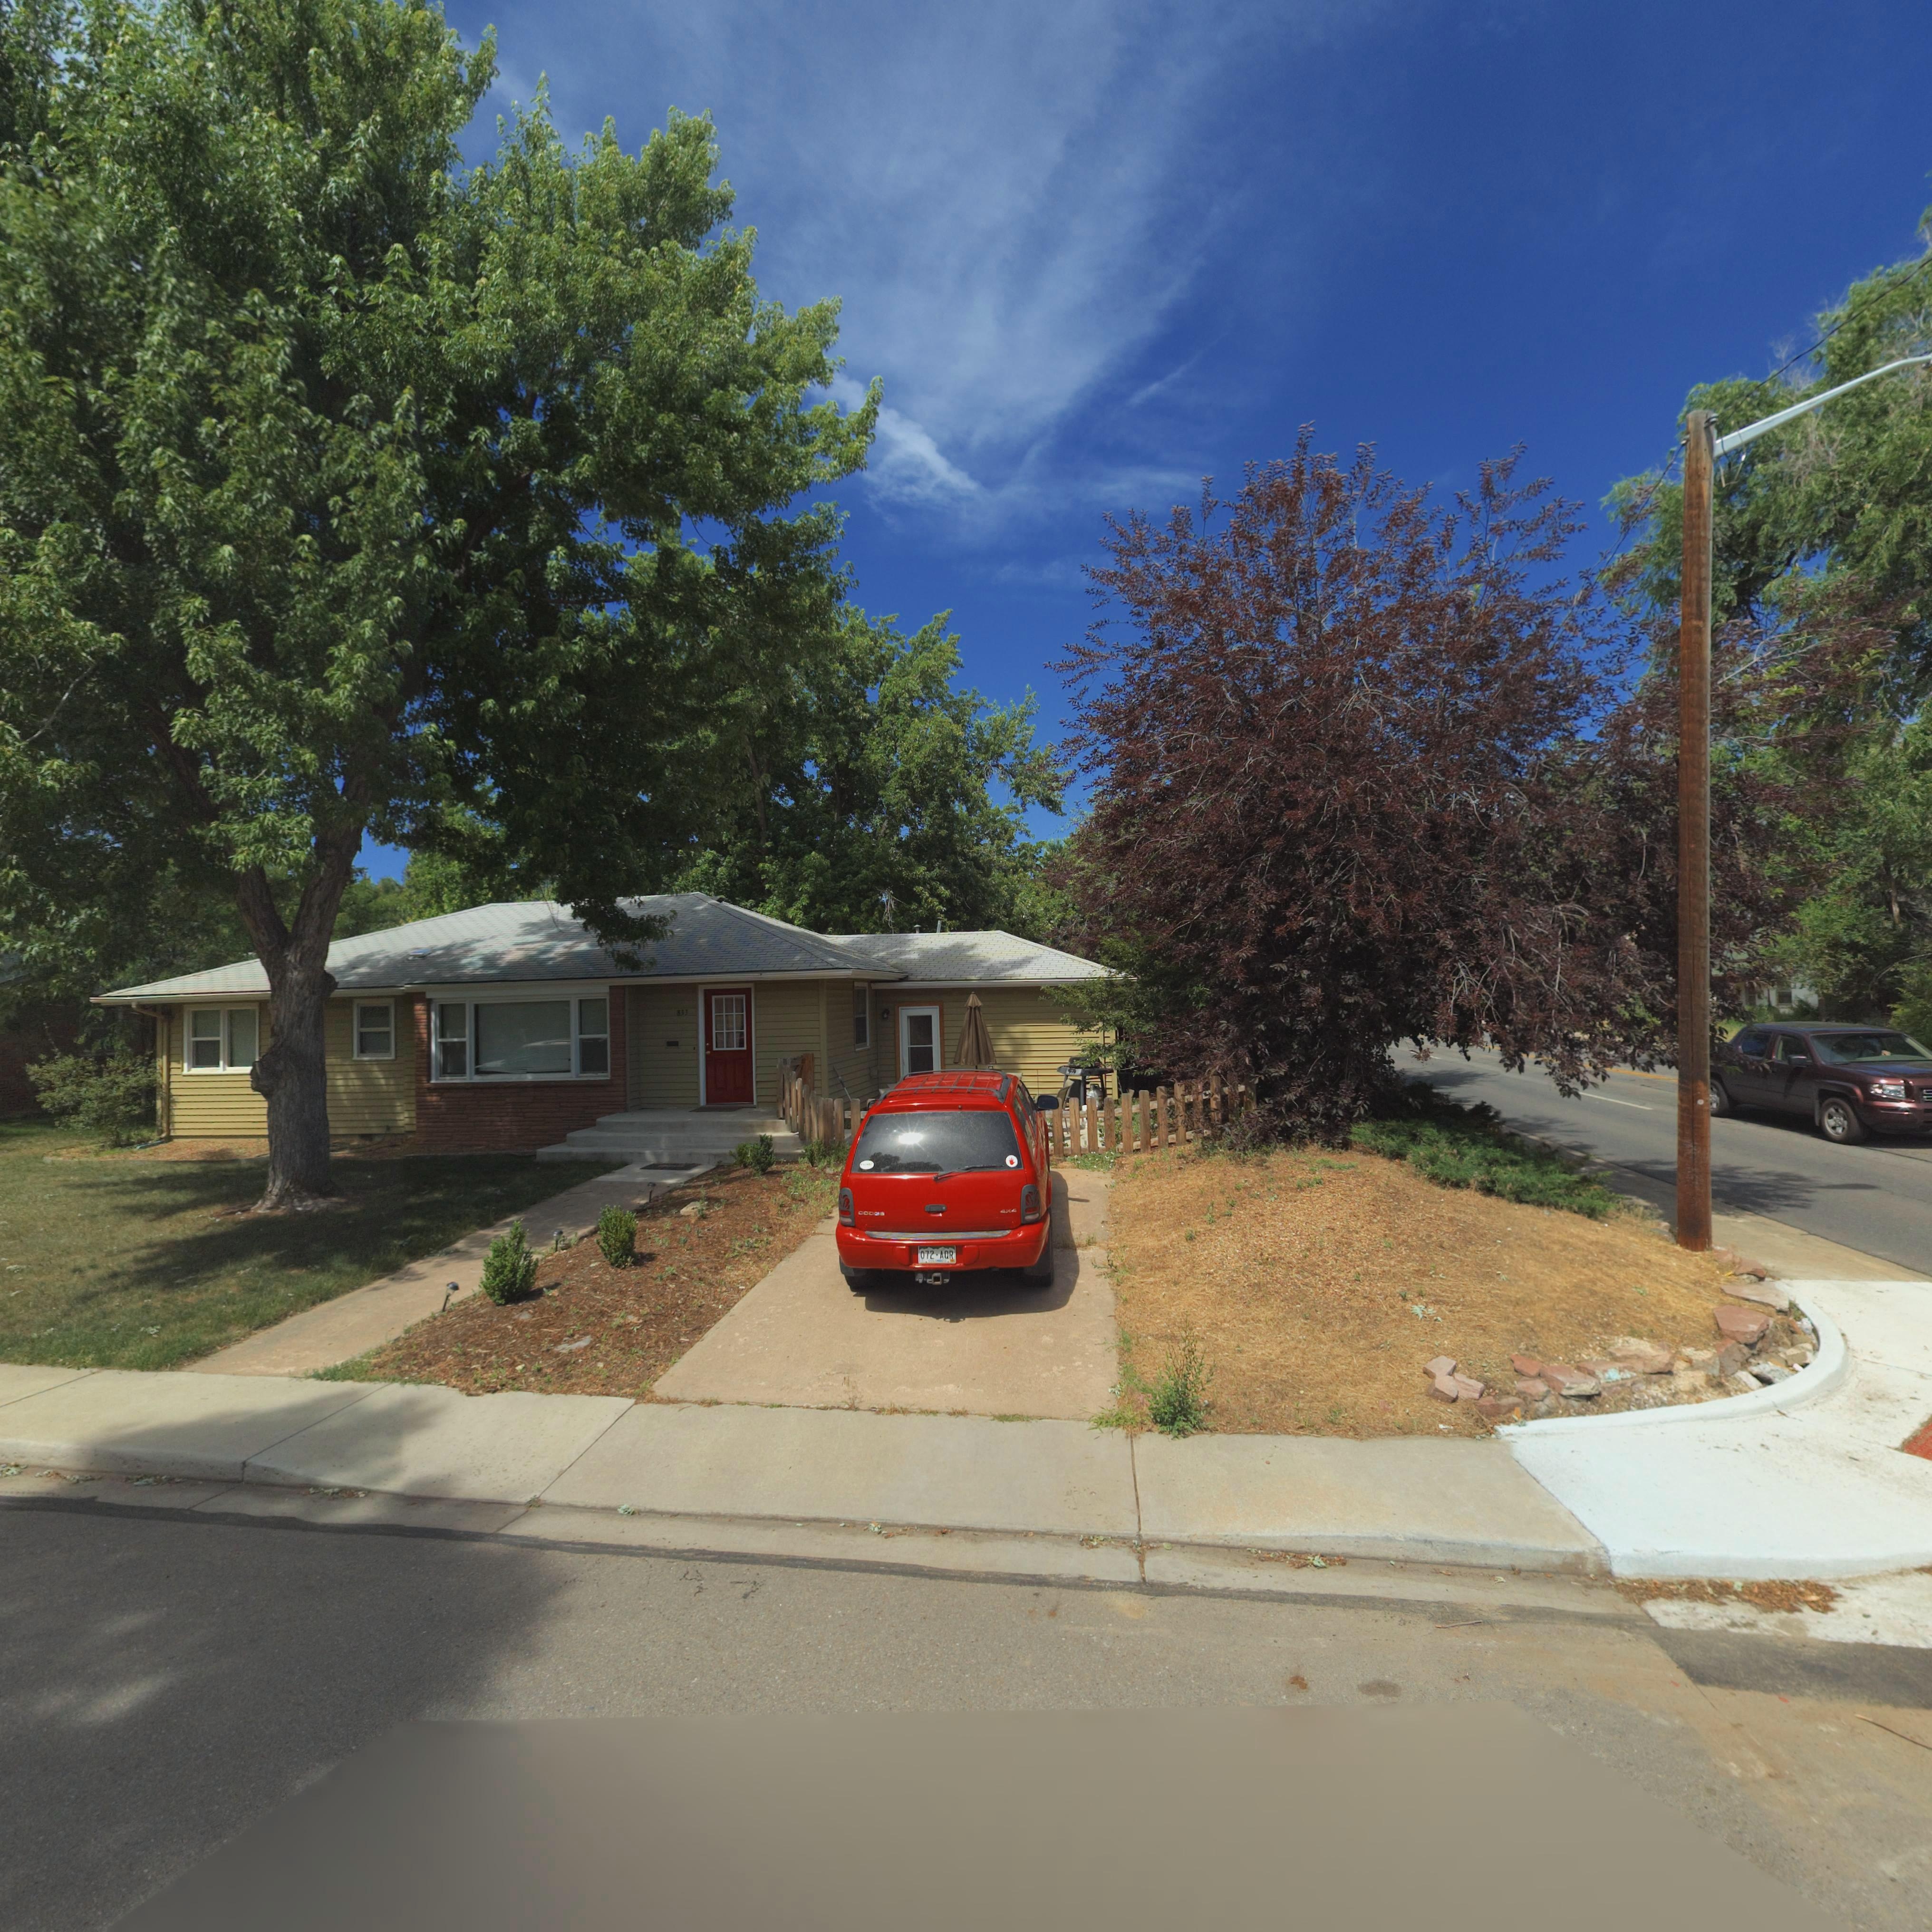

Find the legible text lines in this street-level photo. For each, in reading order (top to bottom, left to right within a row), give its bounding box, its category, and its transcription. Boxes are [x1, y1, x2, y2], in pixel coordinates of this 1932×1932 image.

[676, 1009, 687, 1016] StreetNumber: 833